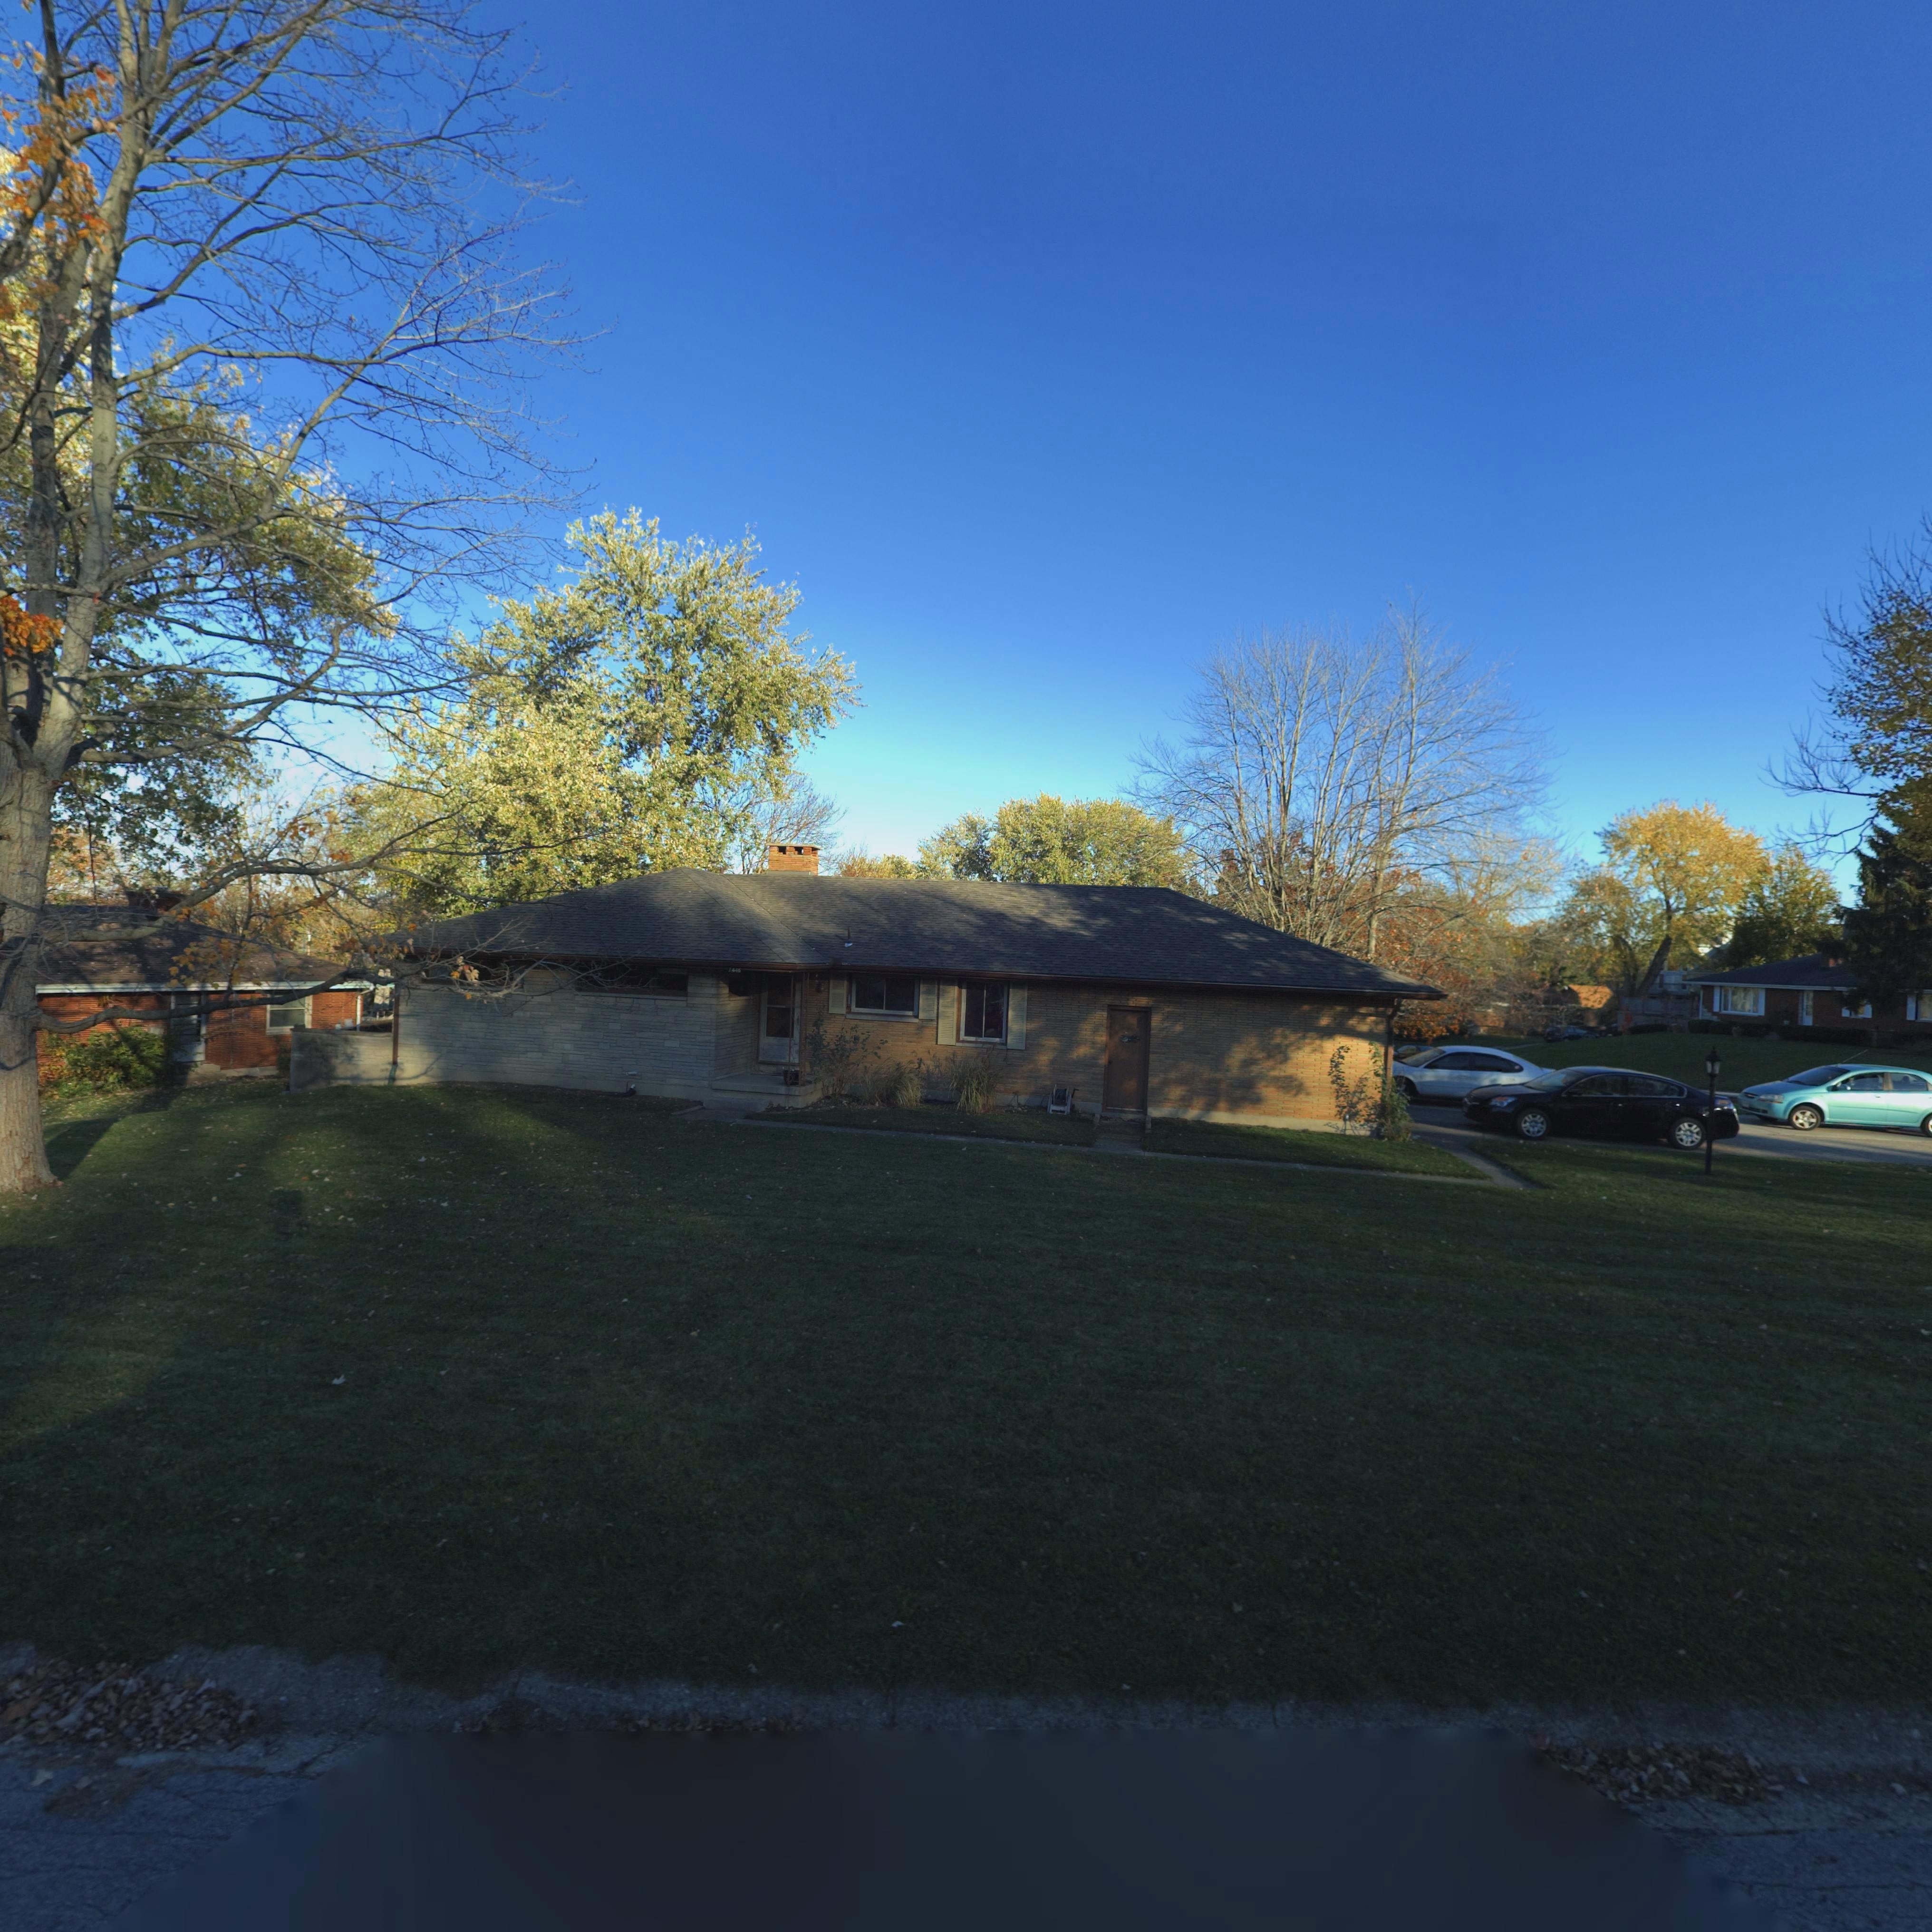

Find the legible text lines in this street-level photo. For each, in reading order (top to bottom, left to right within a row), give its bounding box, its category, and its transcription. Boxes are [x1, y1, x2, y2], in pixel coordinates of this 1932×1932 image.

[727, 967, 743, 973] StreetNumber: 7446